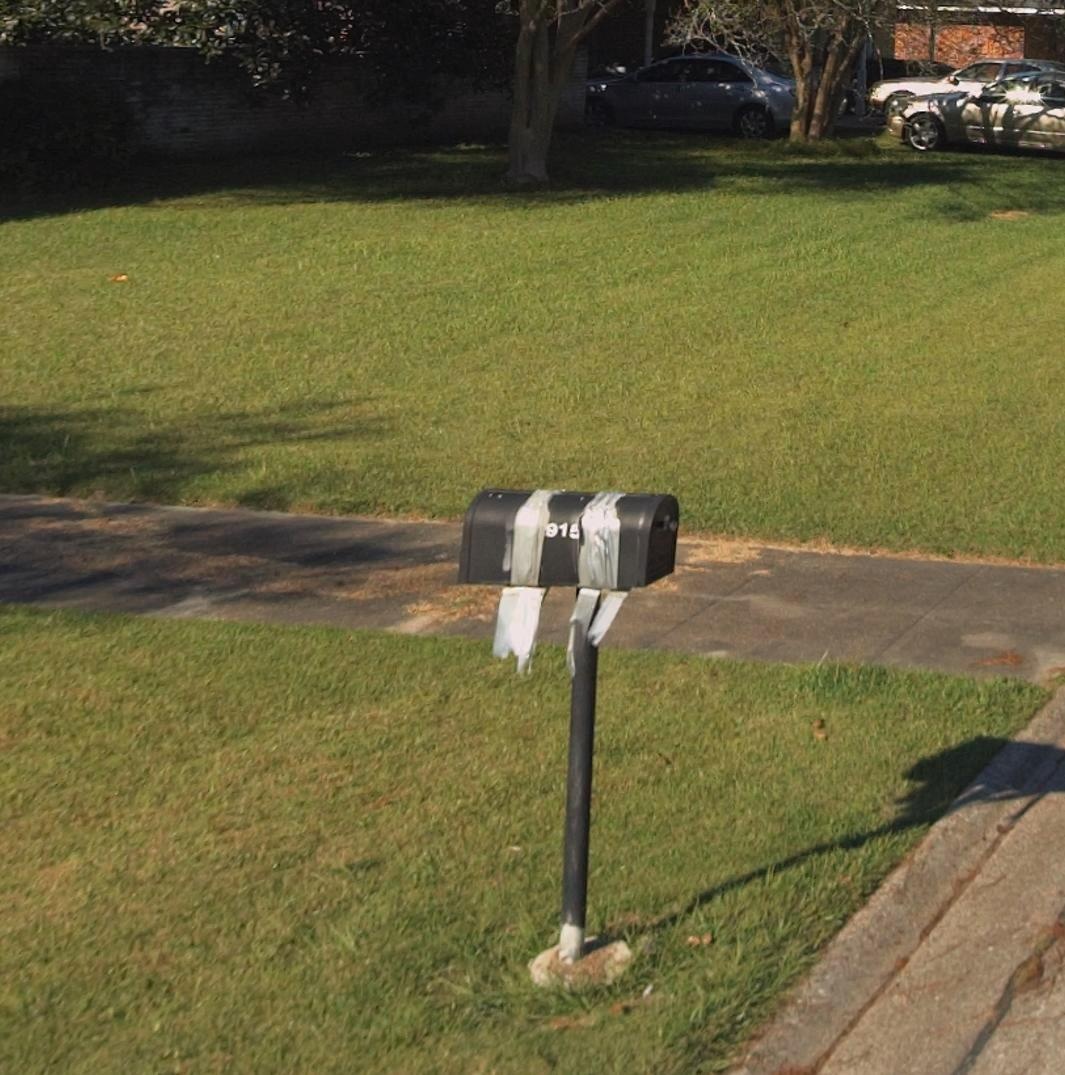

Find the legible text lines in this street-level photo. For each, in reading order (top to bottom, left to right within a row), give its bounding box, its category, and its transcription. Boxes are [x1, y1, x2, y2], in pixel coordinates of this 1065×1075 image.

[544, 521, 582, 541] StreetNumber: 915